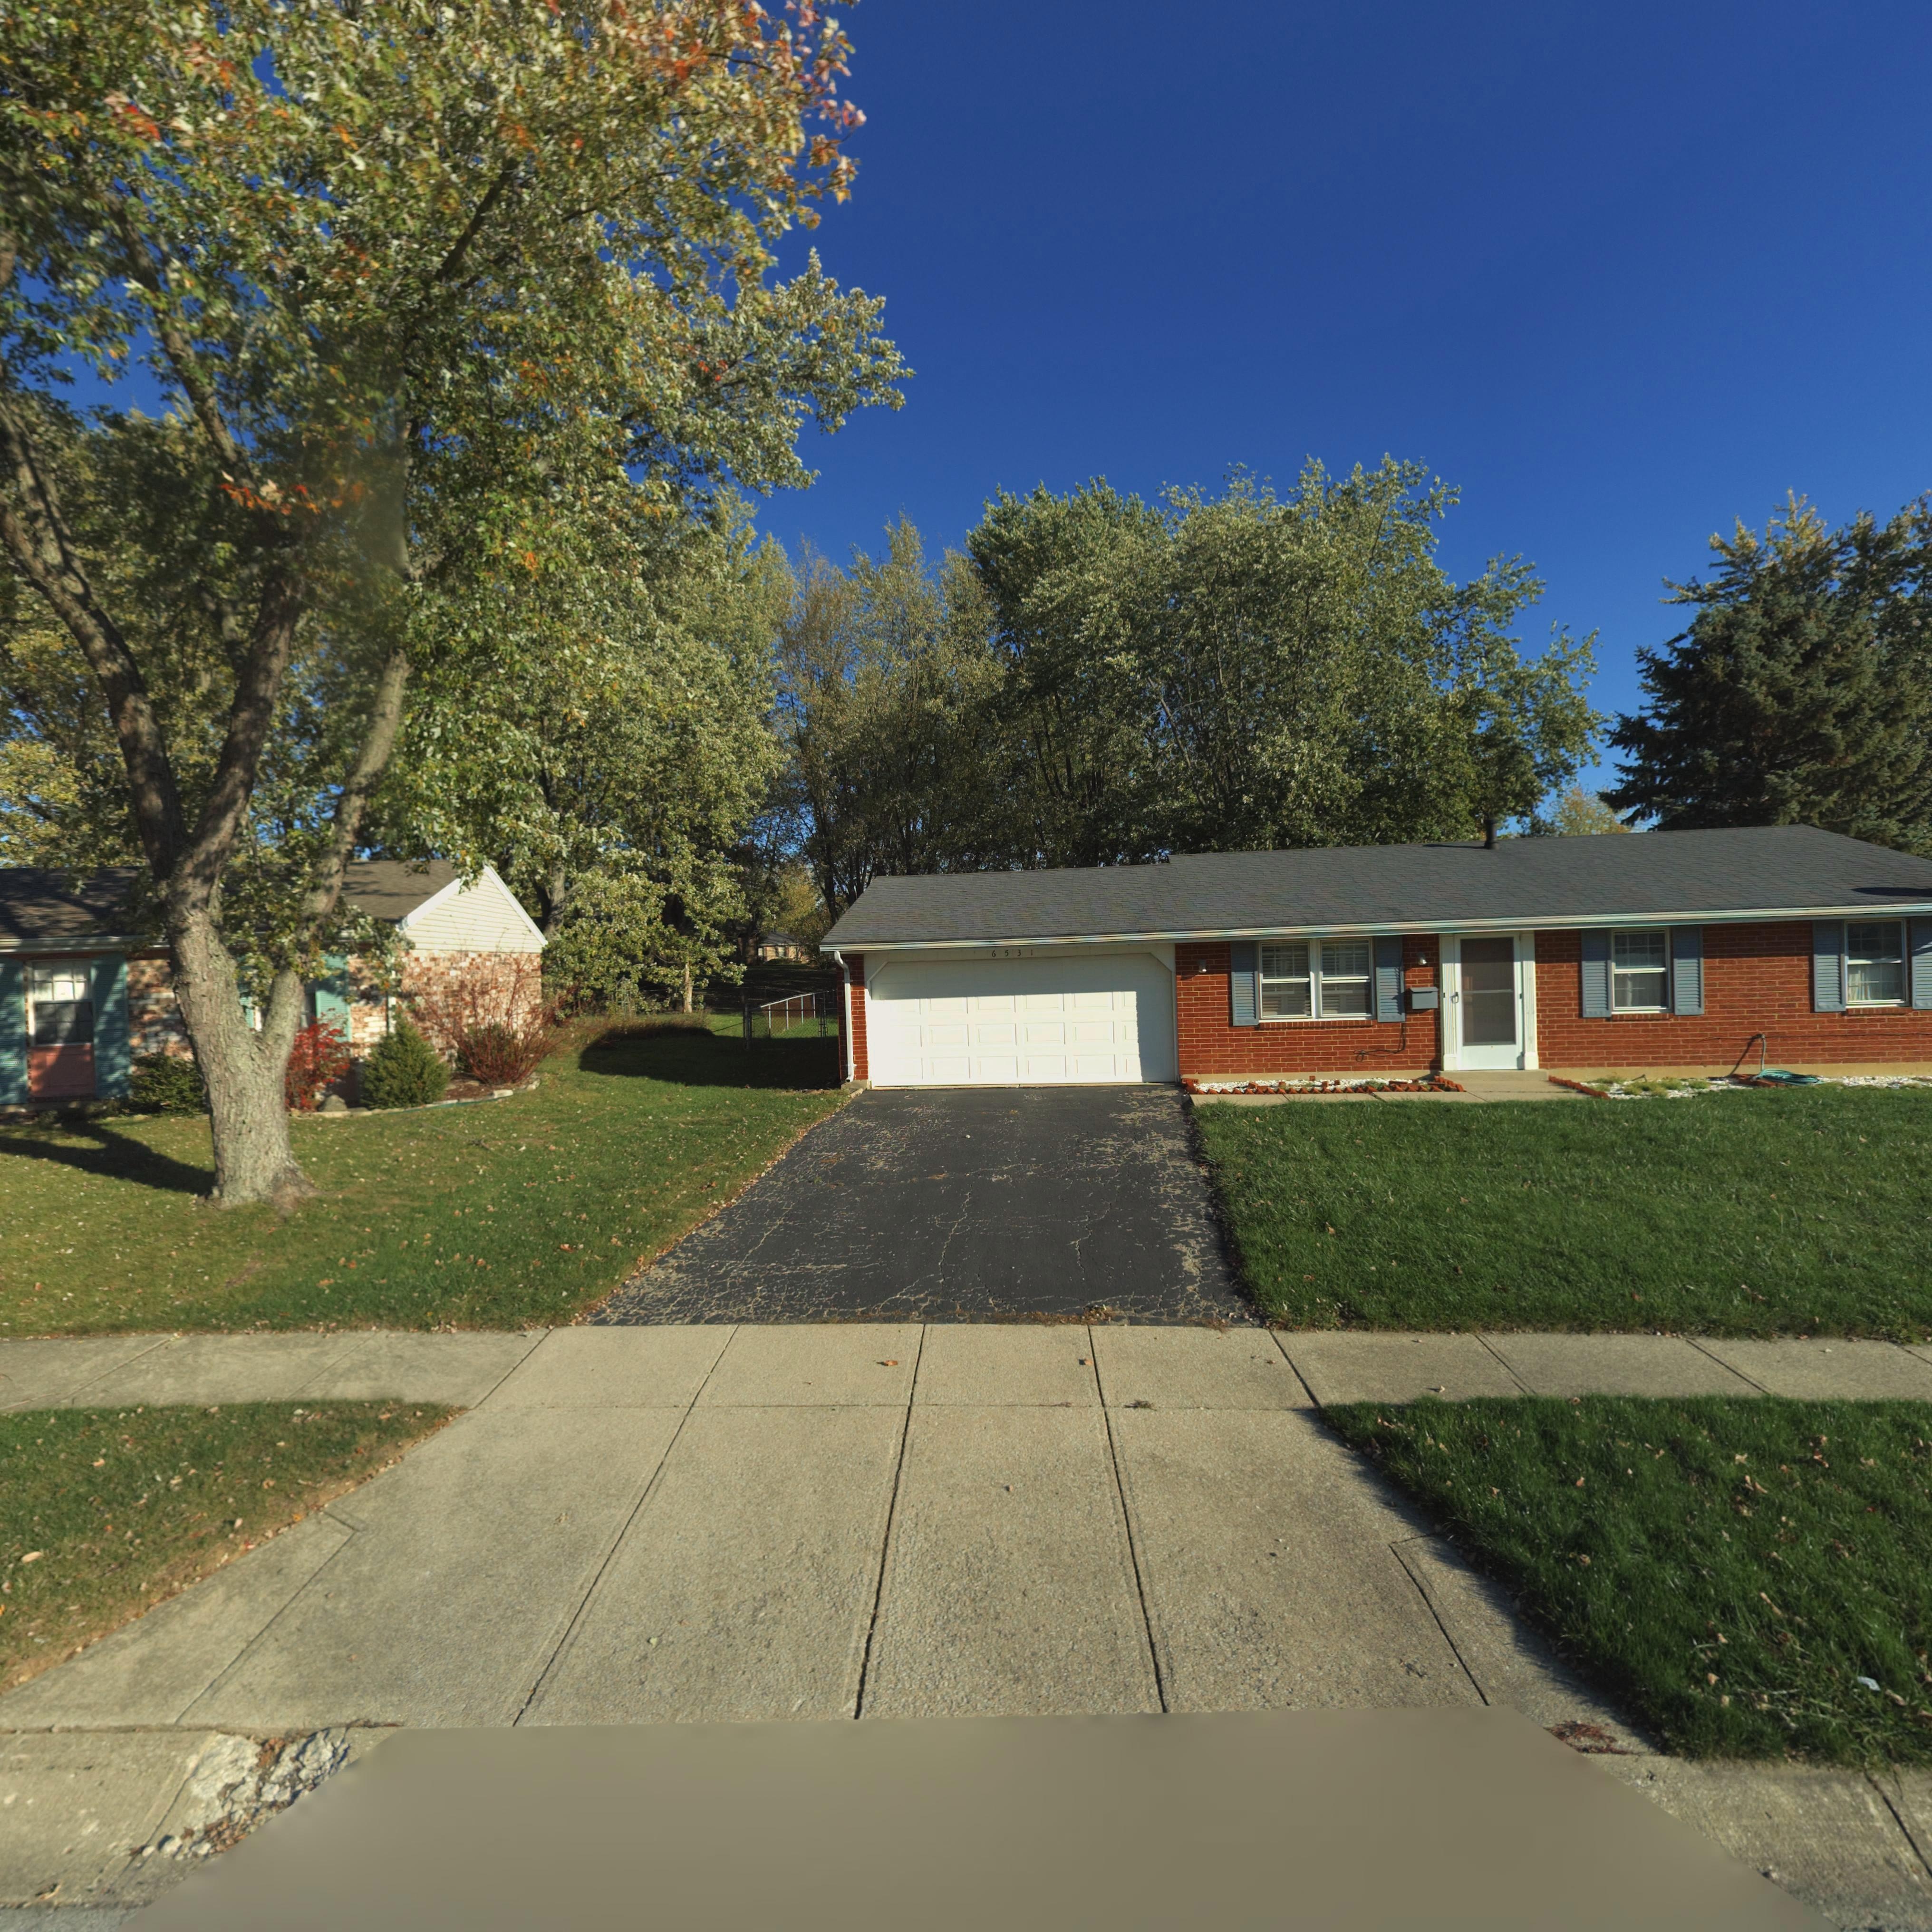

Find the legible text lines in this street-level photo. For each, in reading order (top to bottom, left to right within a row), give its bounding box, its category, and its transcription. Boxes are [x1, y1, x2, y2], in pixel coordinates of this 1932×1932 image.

[991, 949, 1033, 958] StreetNumber: 6531